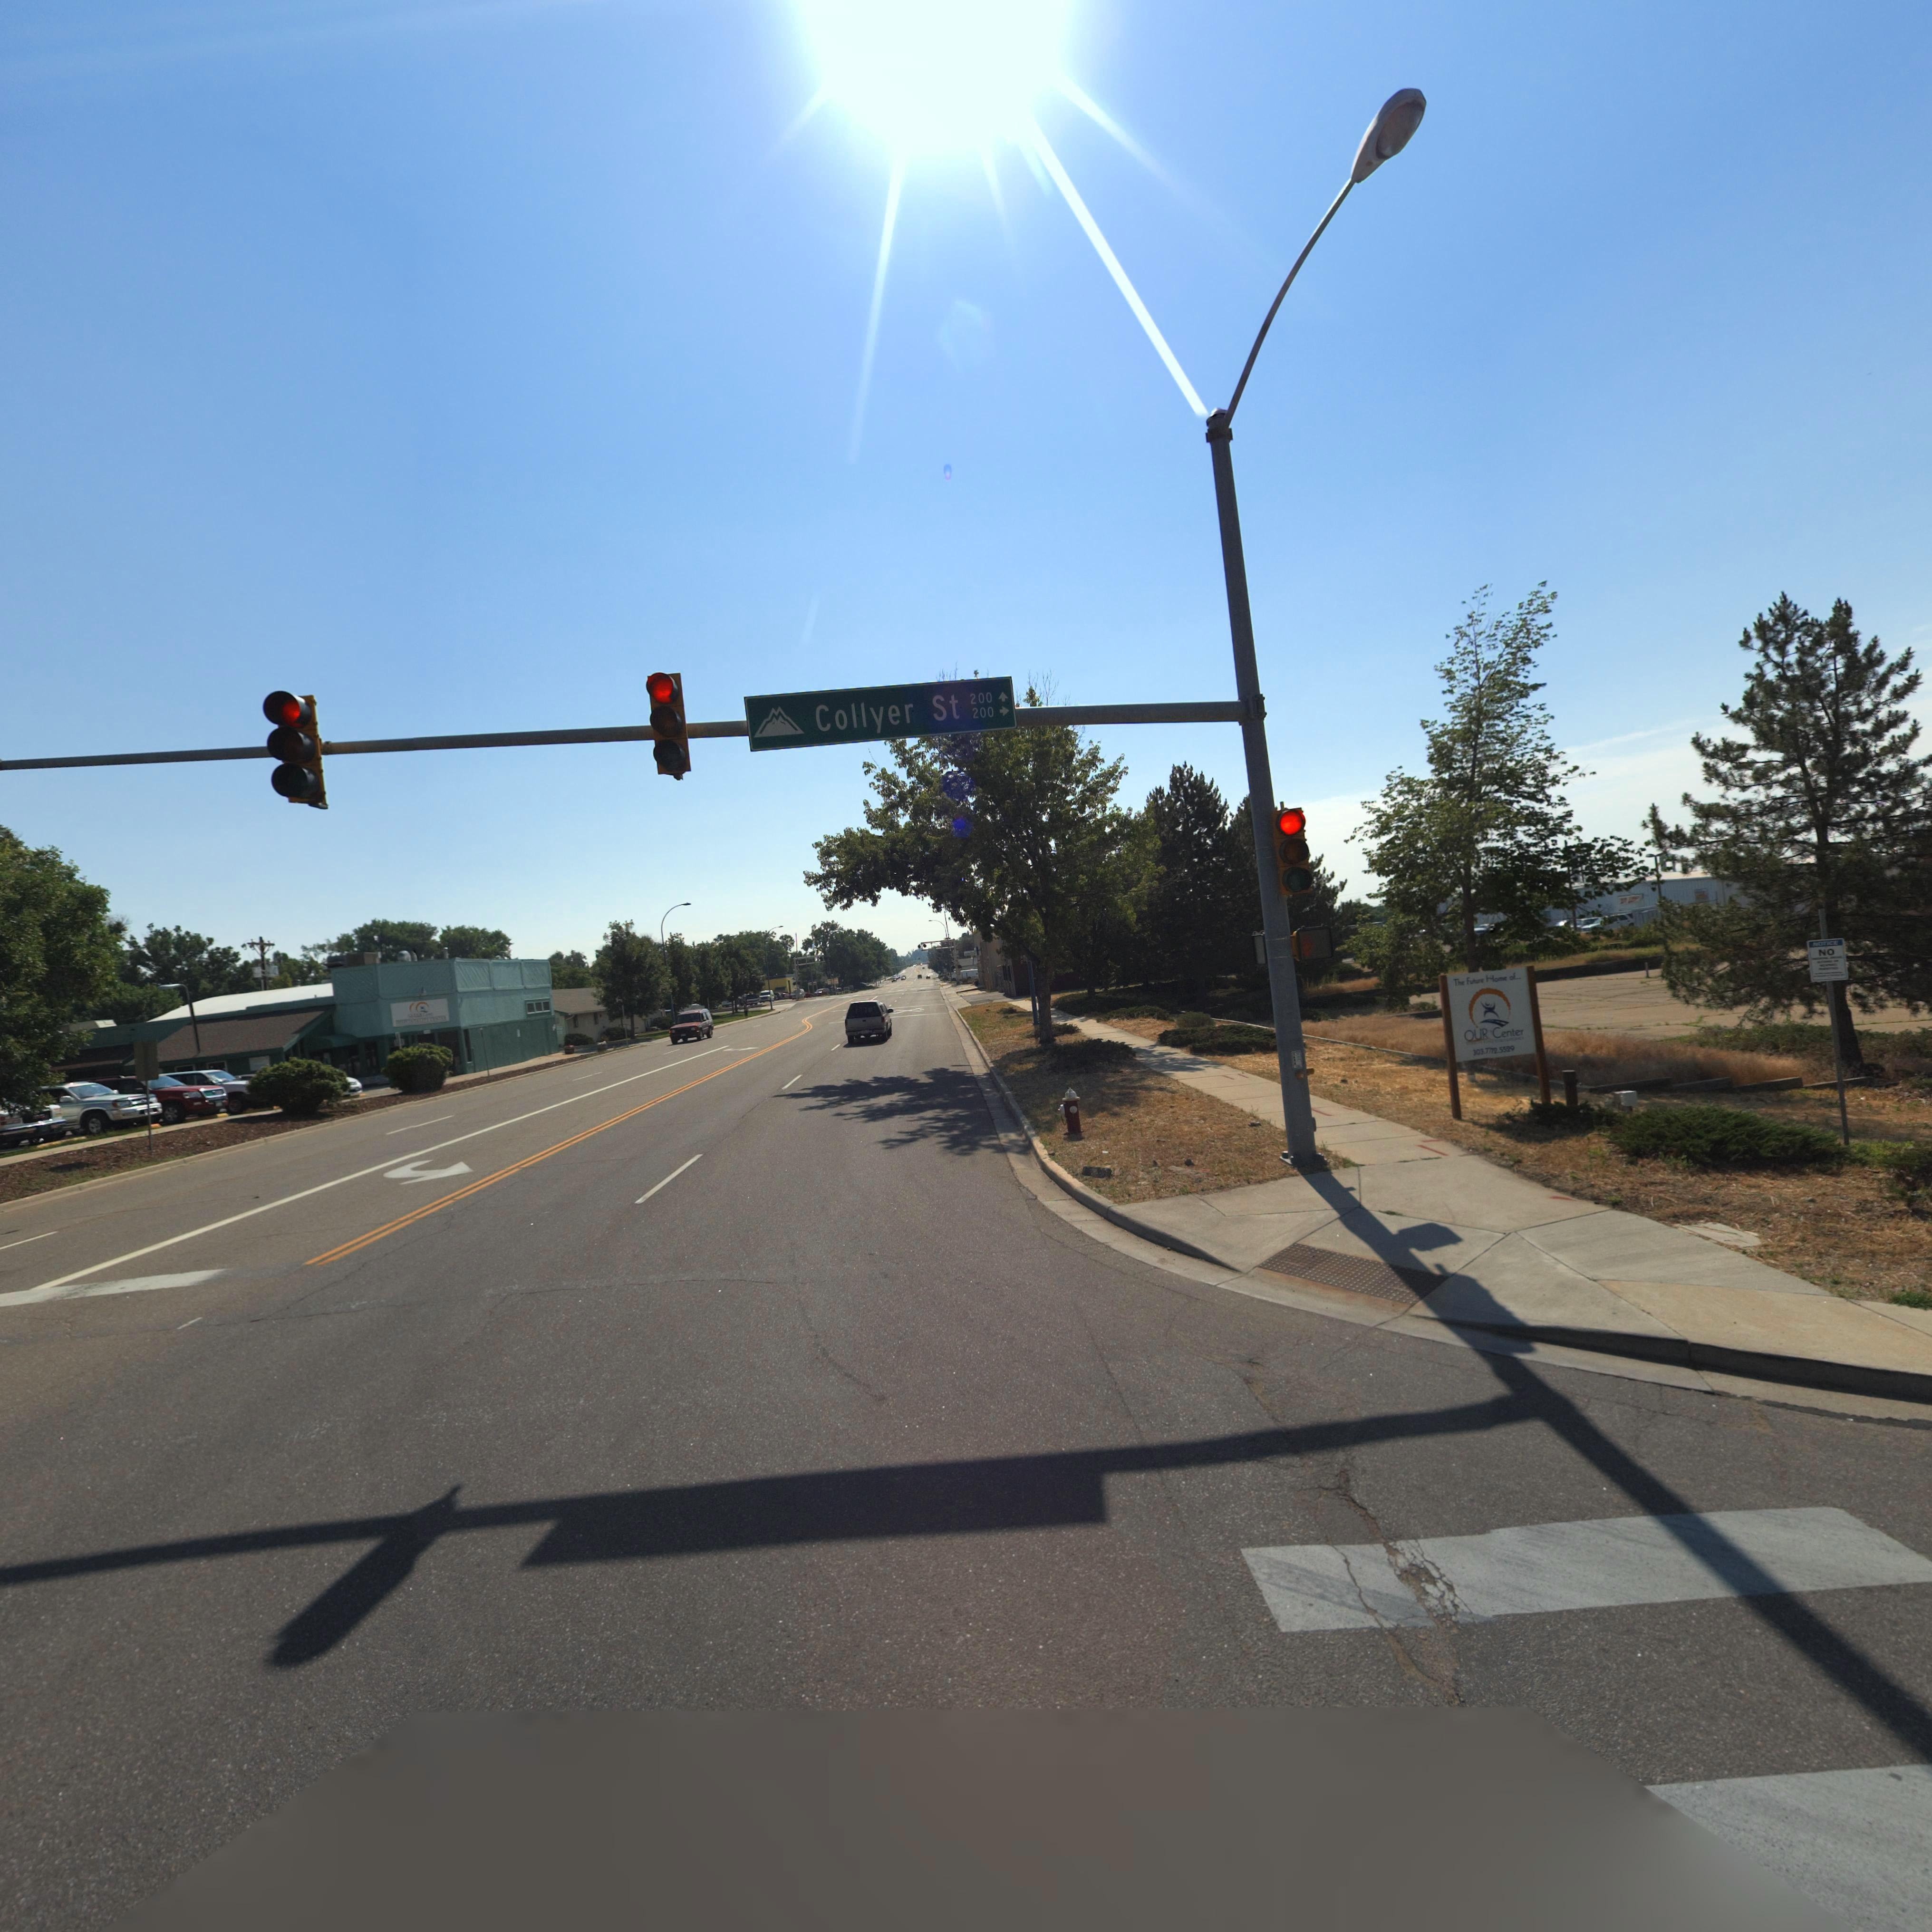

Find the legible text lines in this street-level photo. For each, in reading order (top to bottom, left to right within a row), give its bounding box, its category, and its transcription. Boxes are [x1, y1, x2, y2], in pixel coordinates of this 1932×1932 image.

[969, 691, 993, 705] StreetNumberRange: 200
[814, 693, 961, 735] StreetName: Collyer St
[971, 704, 1011, 719] StreetNumberRange: 200->
[1463, 1026, 1524, 1042] BusinessName: OUR Center